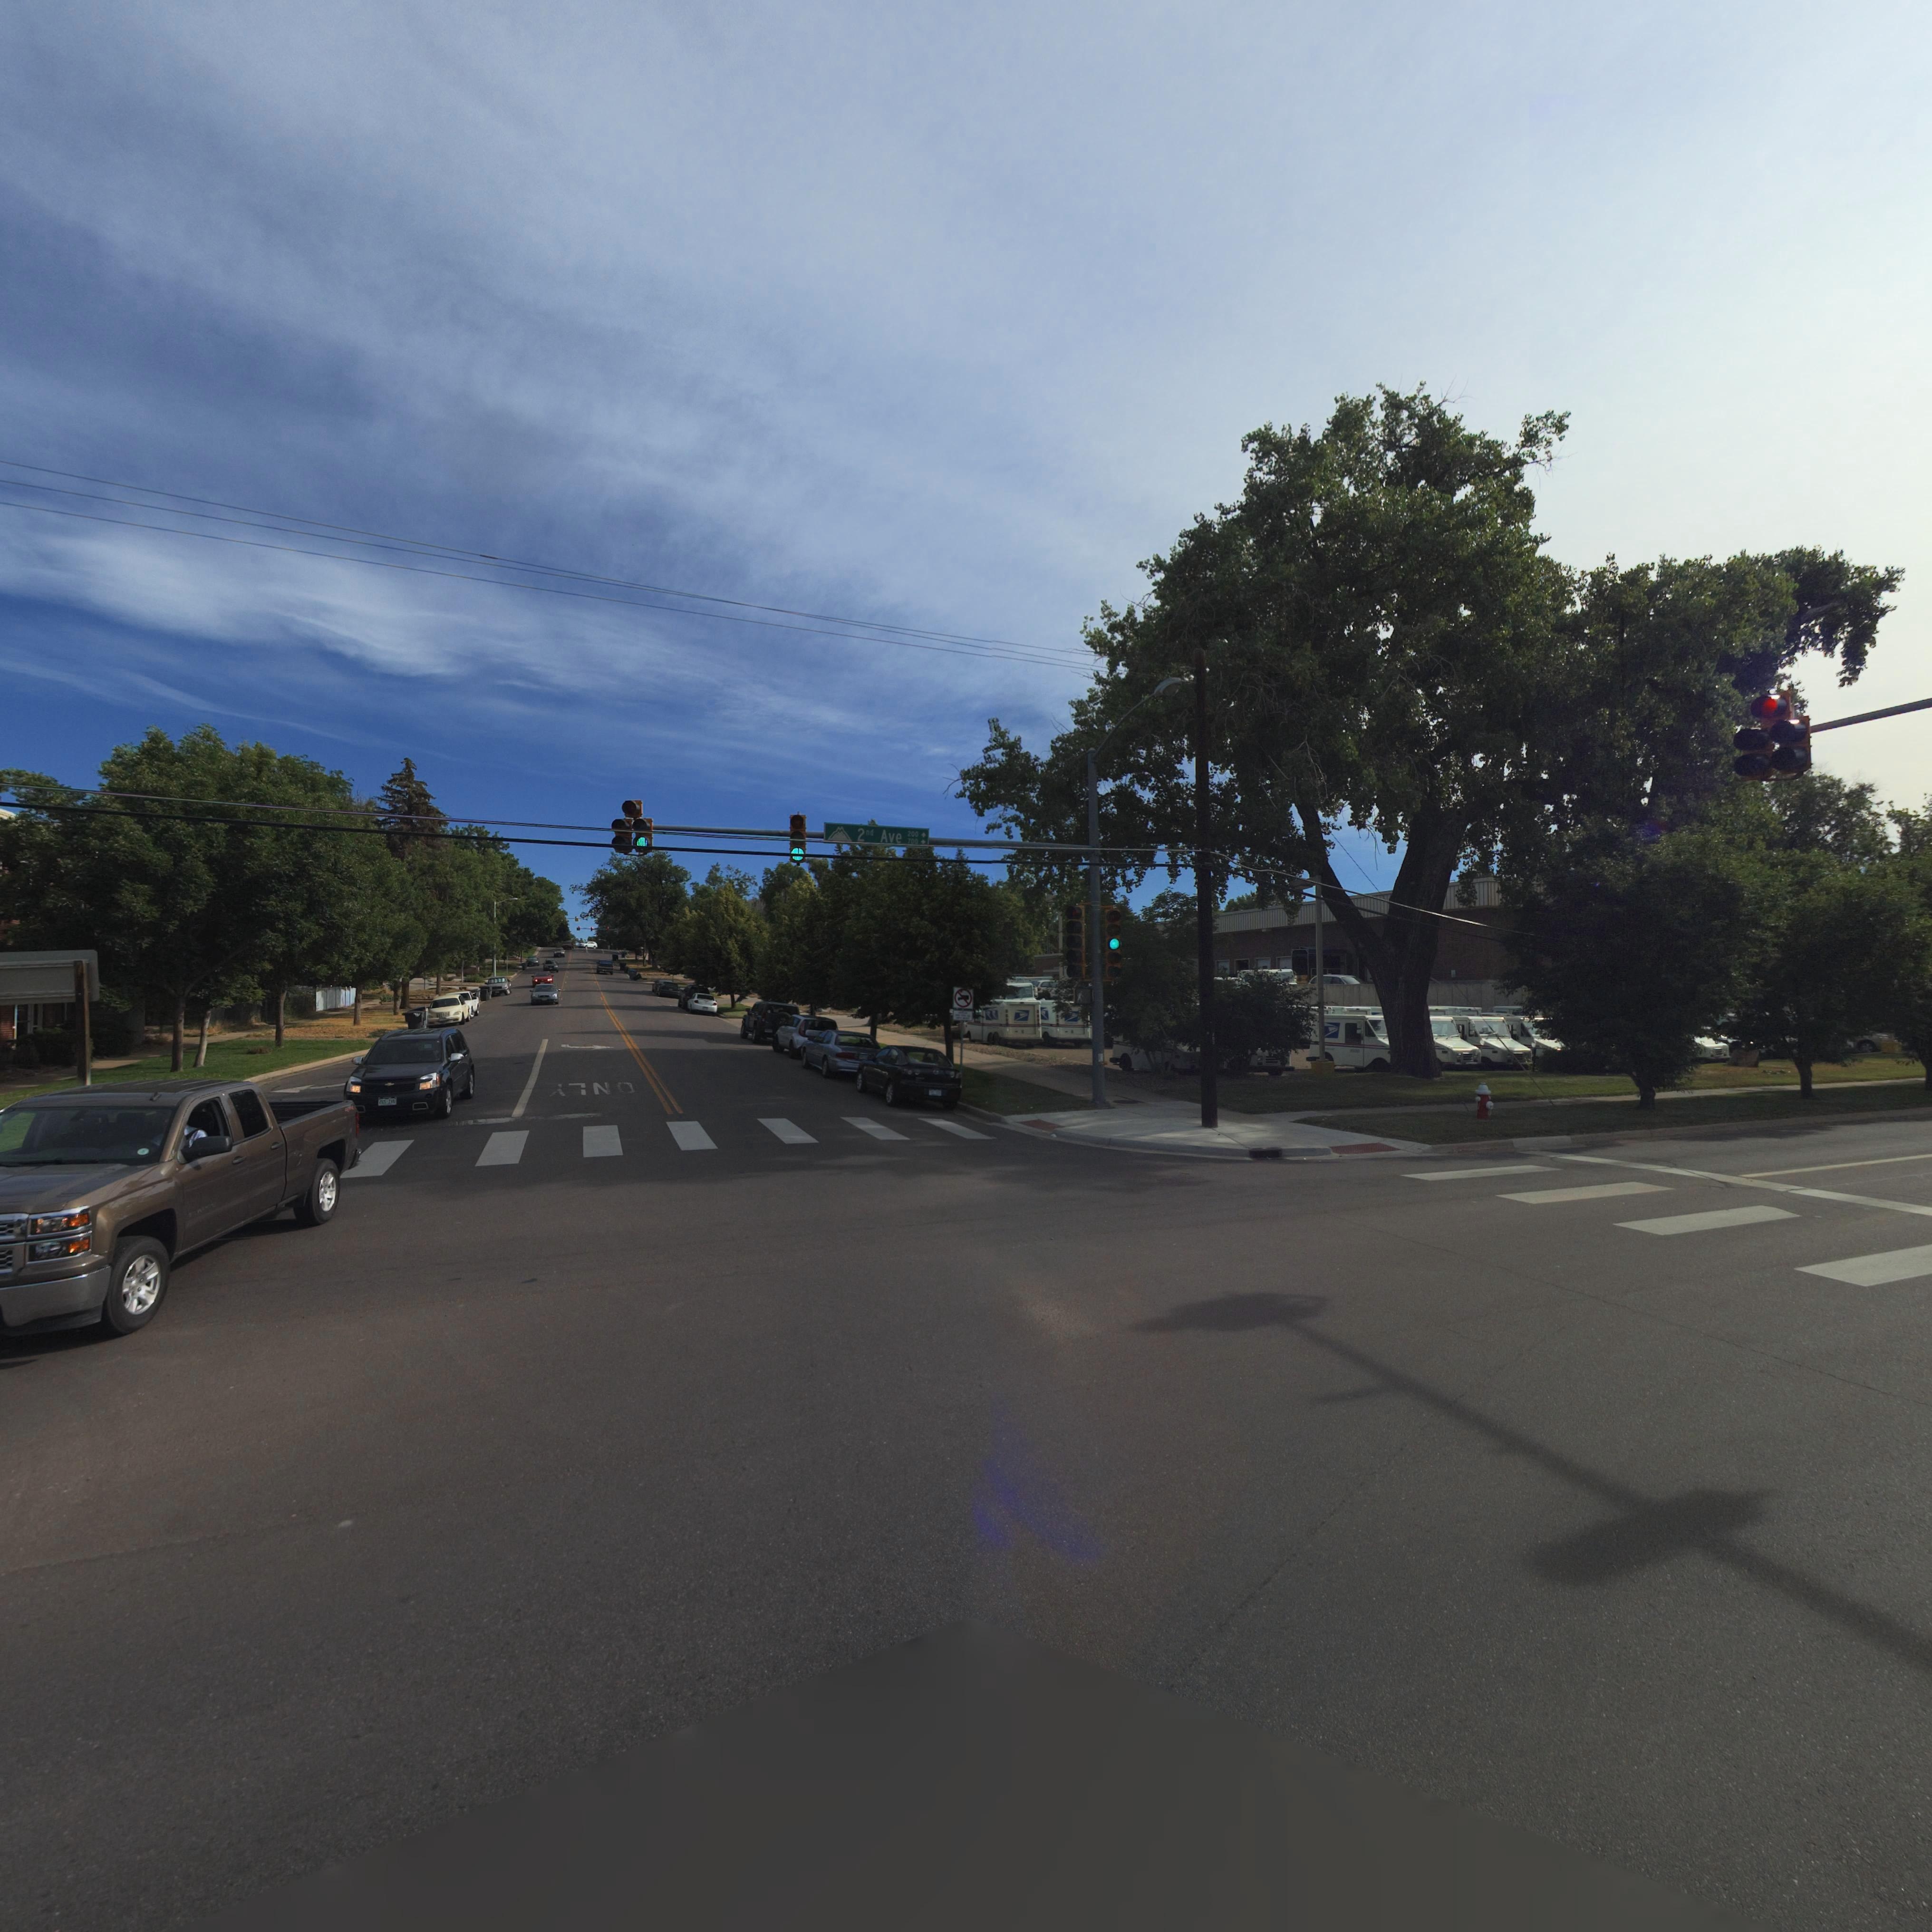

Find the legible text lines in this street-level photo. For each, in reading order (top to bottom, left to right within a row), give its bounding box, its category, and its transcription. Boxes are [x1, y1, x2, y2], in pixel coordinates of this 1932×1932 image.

[856, 827, 903, 845] StreetName: 2nd Ave
[907, 831, 919, 837] StreetNumberRange: 200
[907, 838, 927, 845] StreetNumberRange: 700->